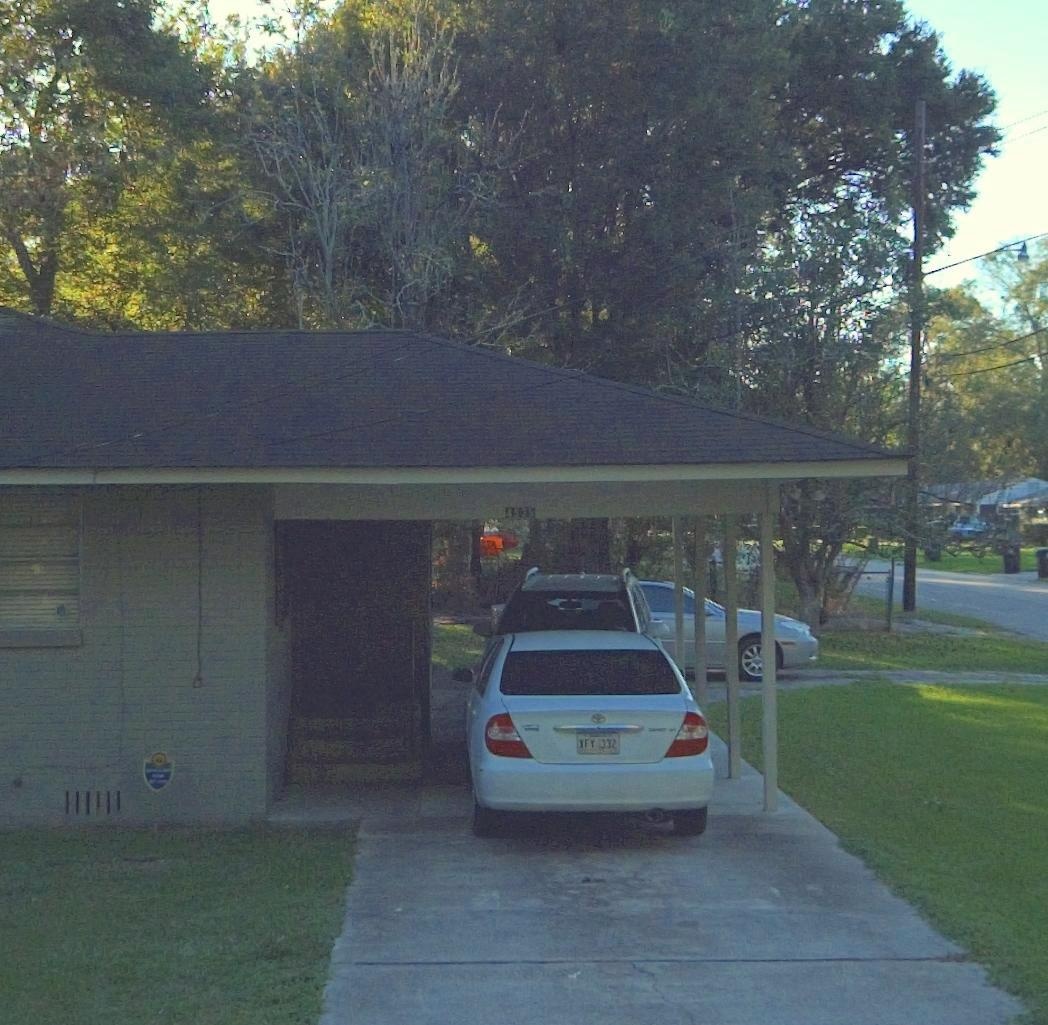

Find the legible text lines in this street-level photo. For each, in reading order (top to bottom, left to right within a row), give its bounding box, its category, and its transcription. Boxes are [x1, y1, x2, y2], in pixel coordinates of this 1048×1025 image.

[504, 505, 536, 519] StreetNumber: 4535
[578, 738, 617, 749] None: *FY 332